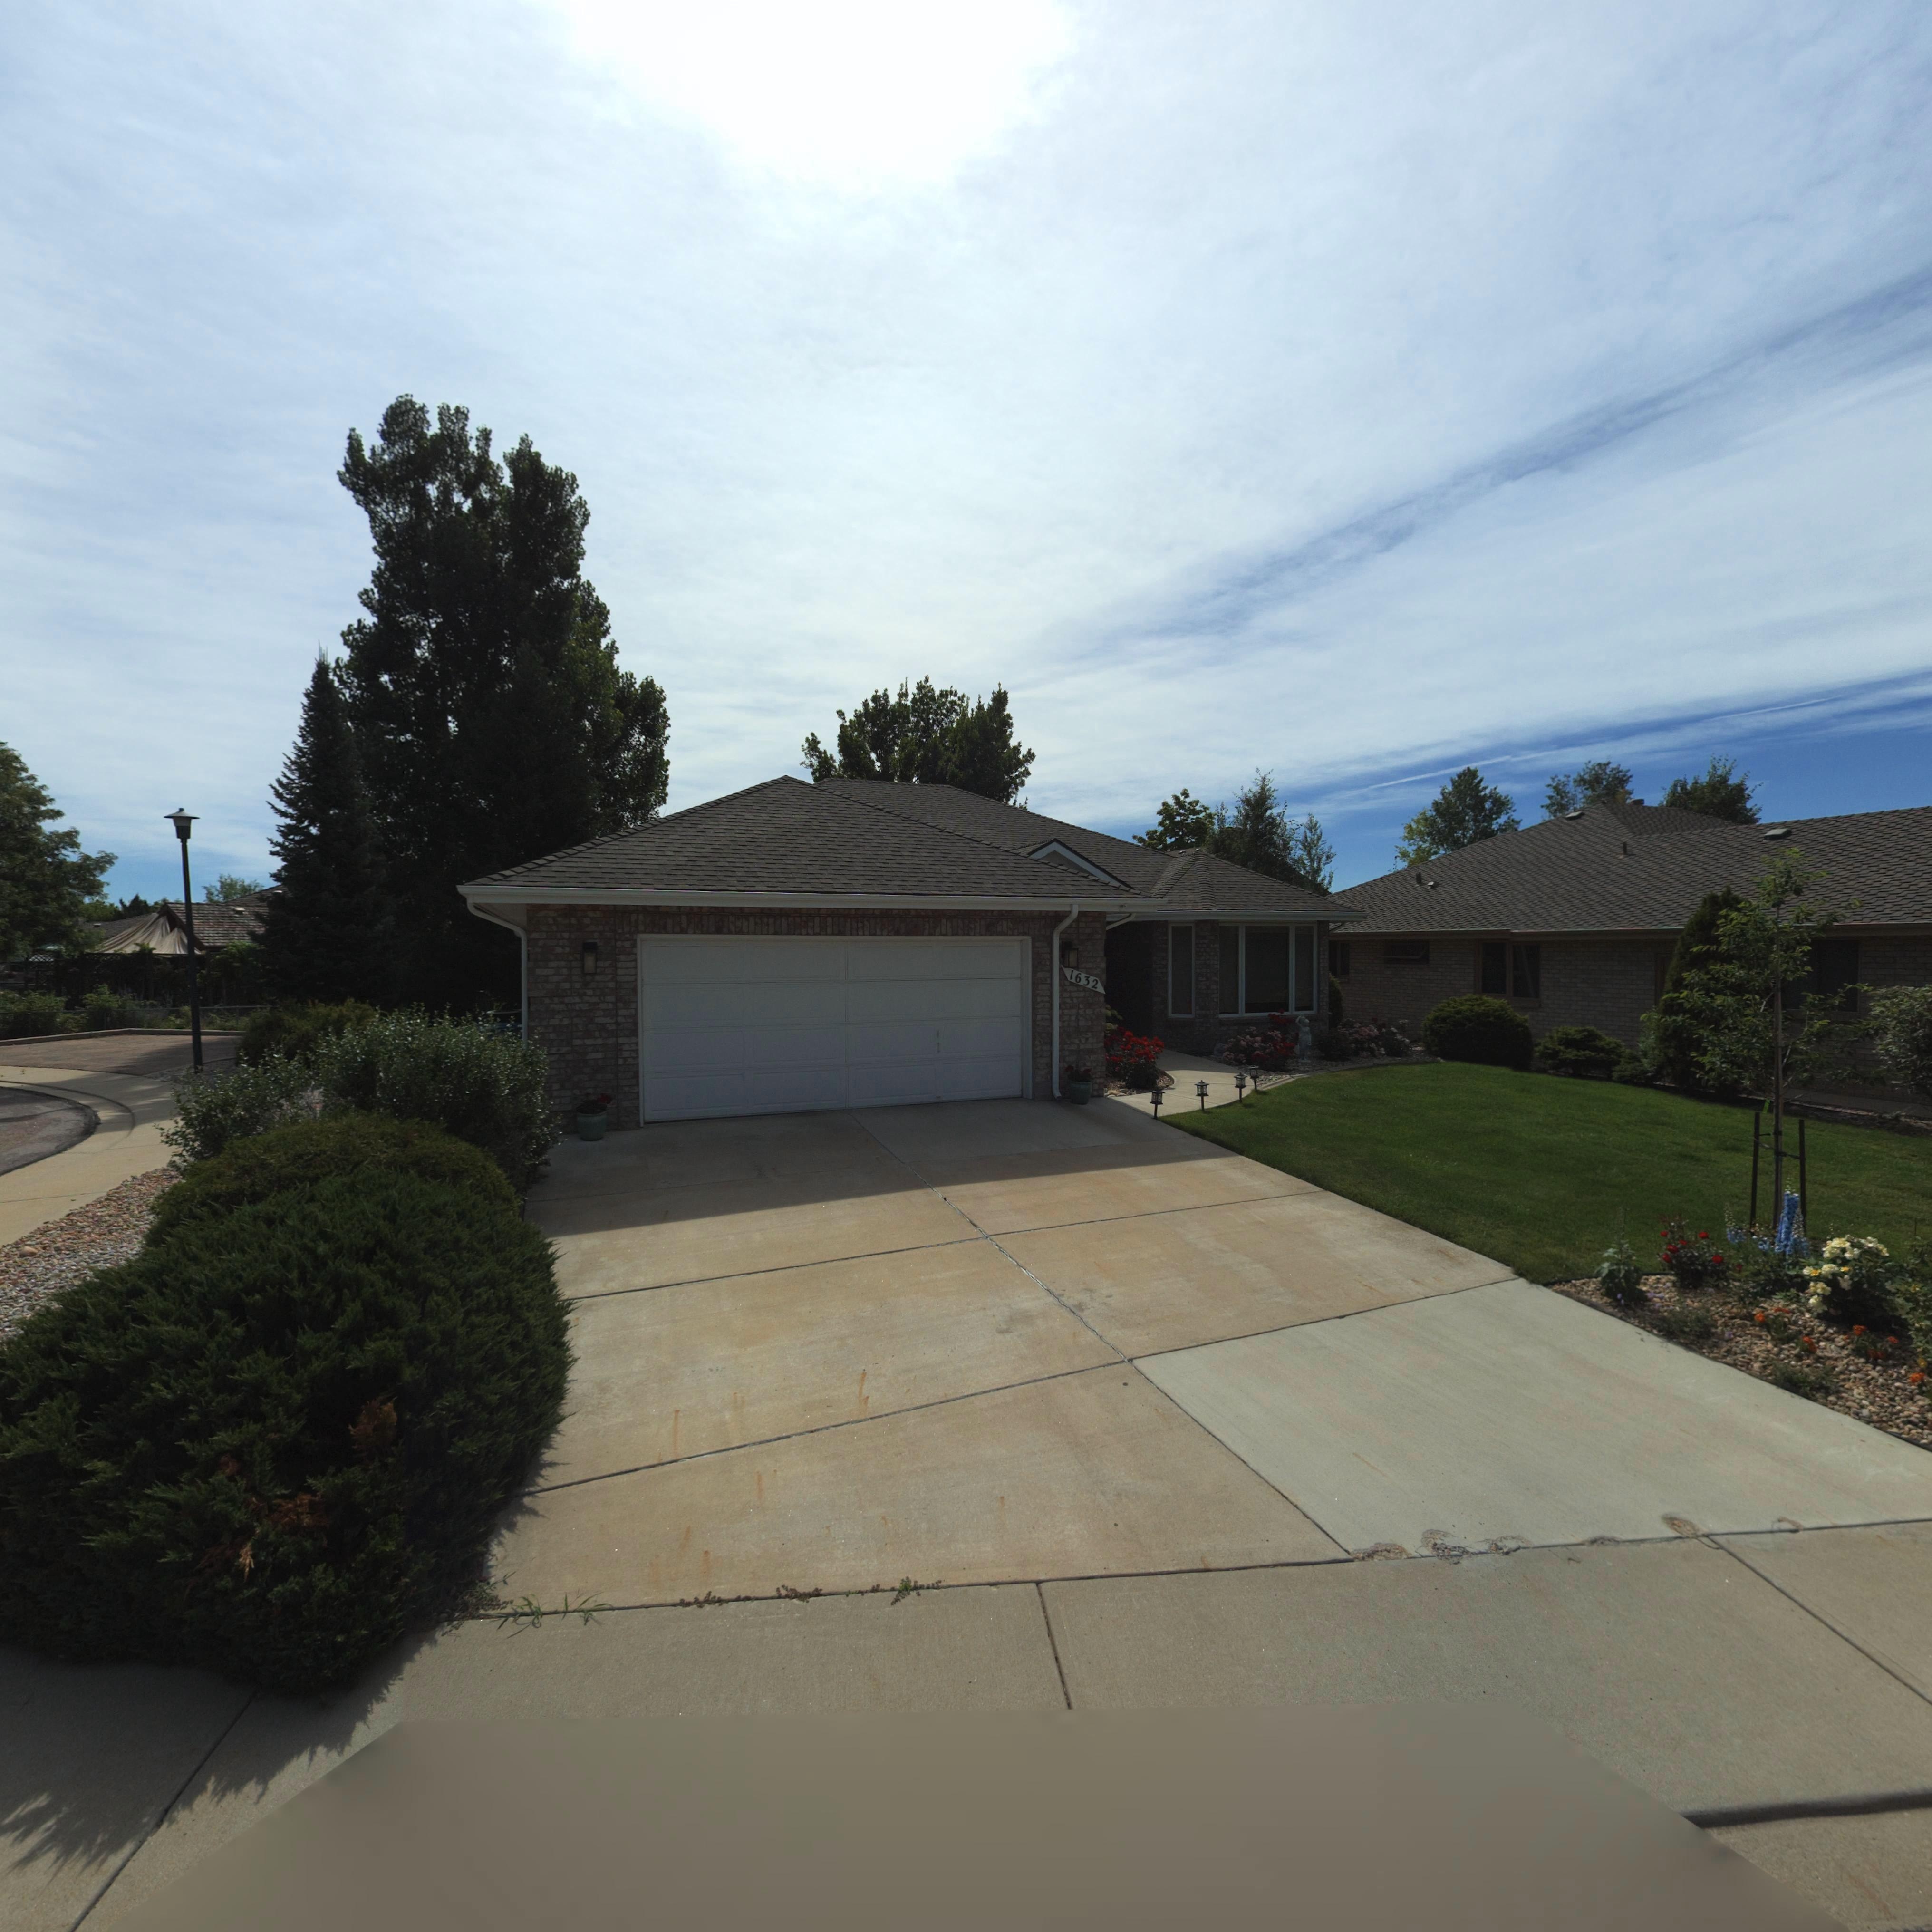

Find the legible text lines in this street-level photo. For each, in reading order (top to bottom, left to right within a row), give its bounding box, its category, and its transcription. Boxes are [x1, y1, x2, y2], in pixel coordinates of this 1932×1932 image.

[1069, 969, 1099, 989] StreetNumber: 1632